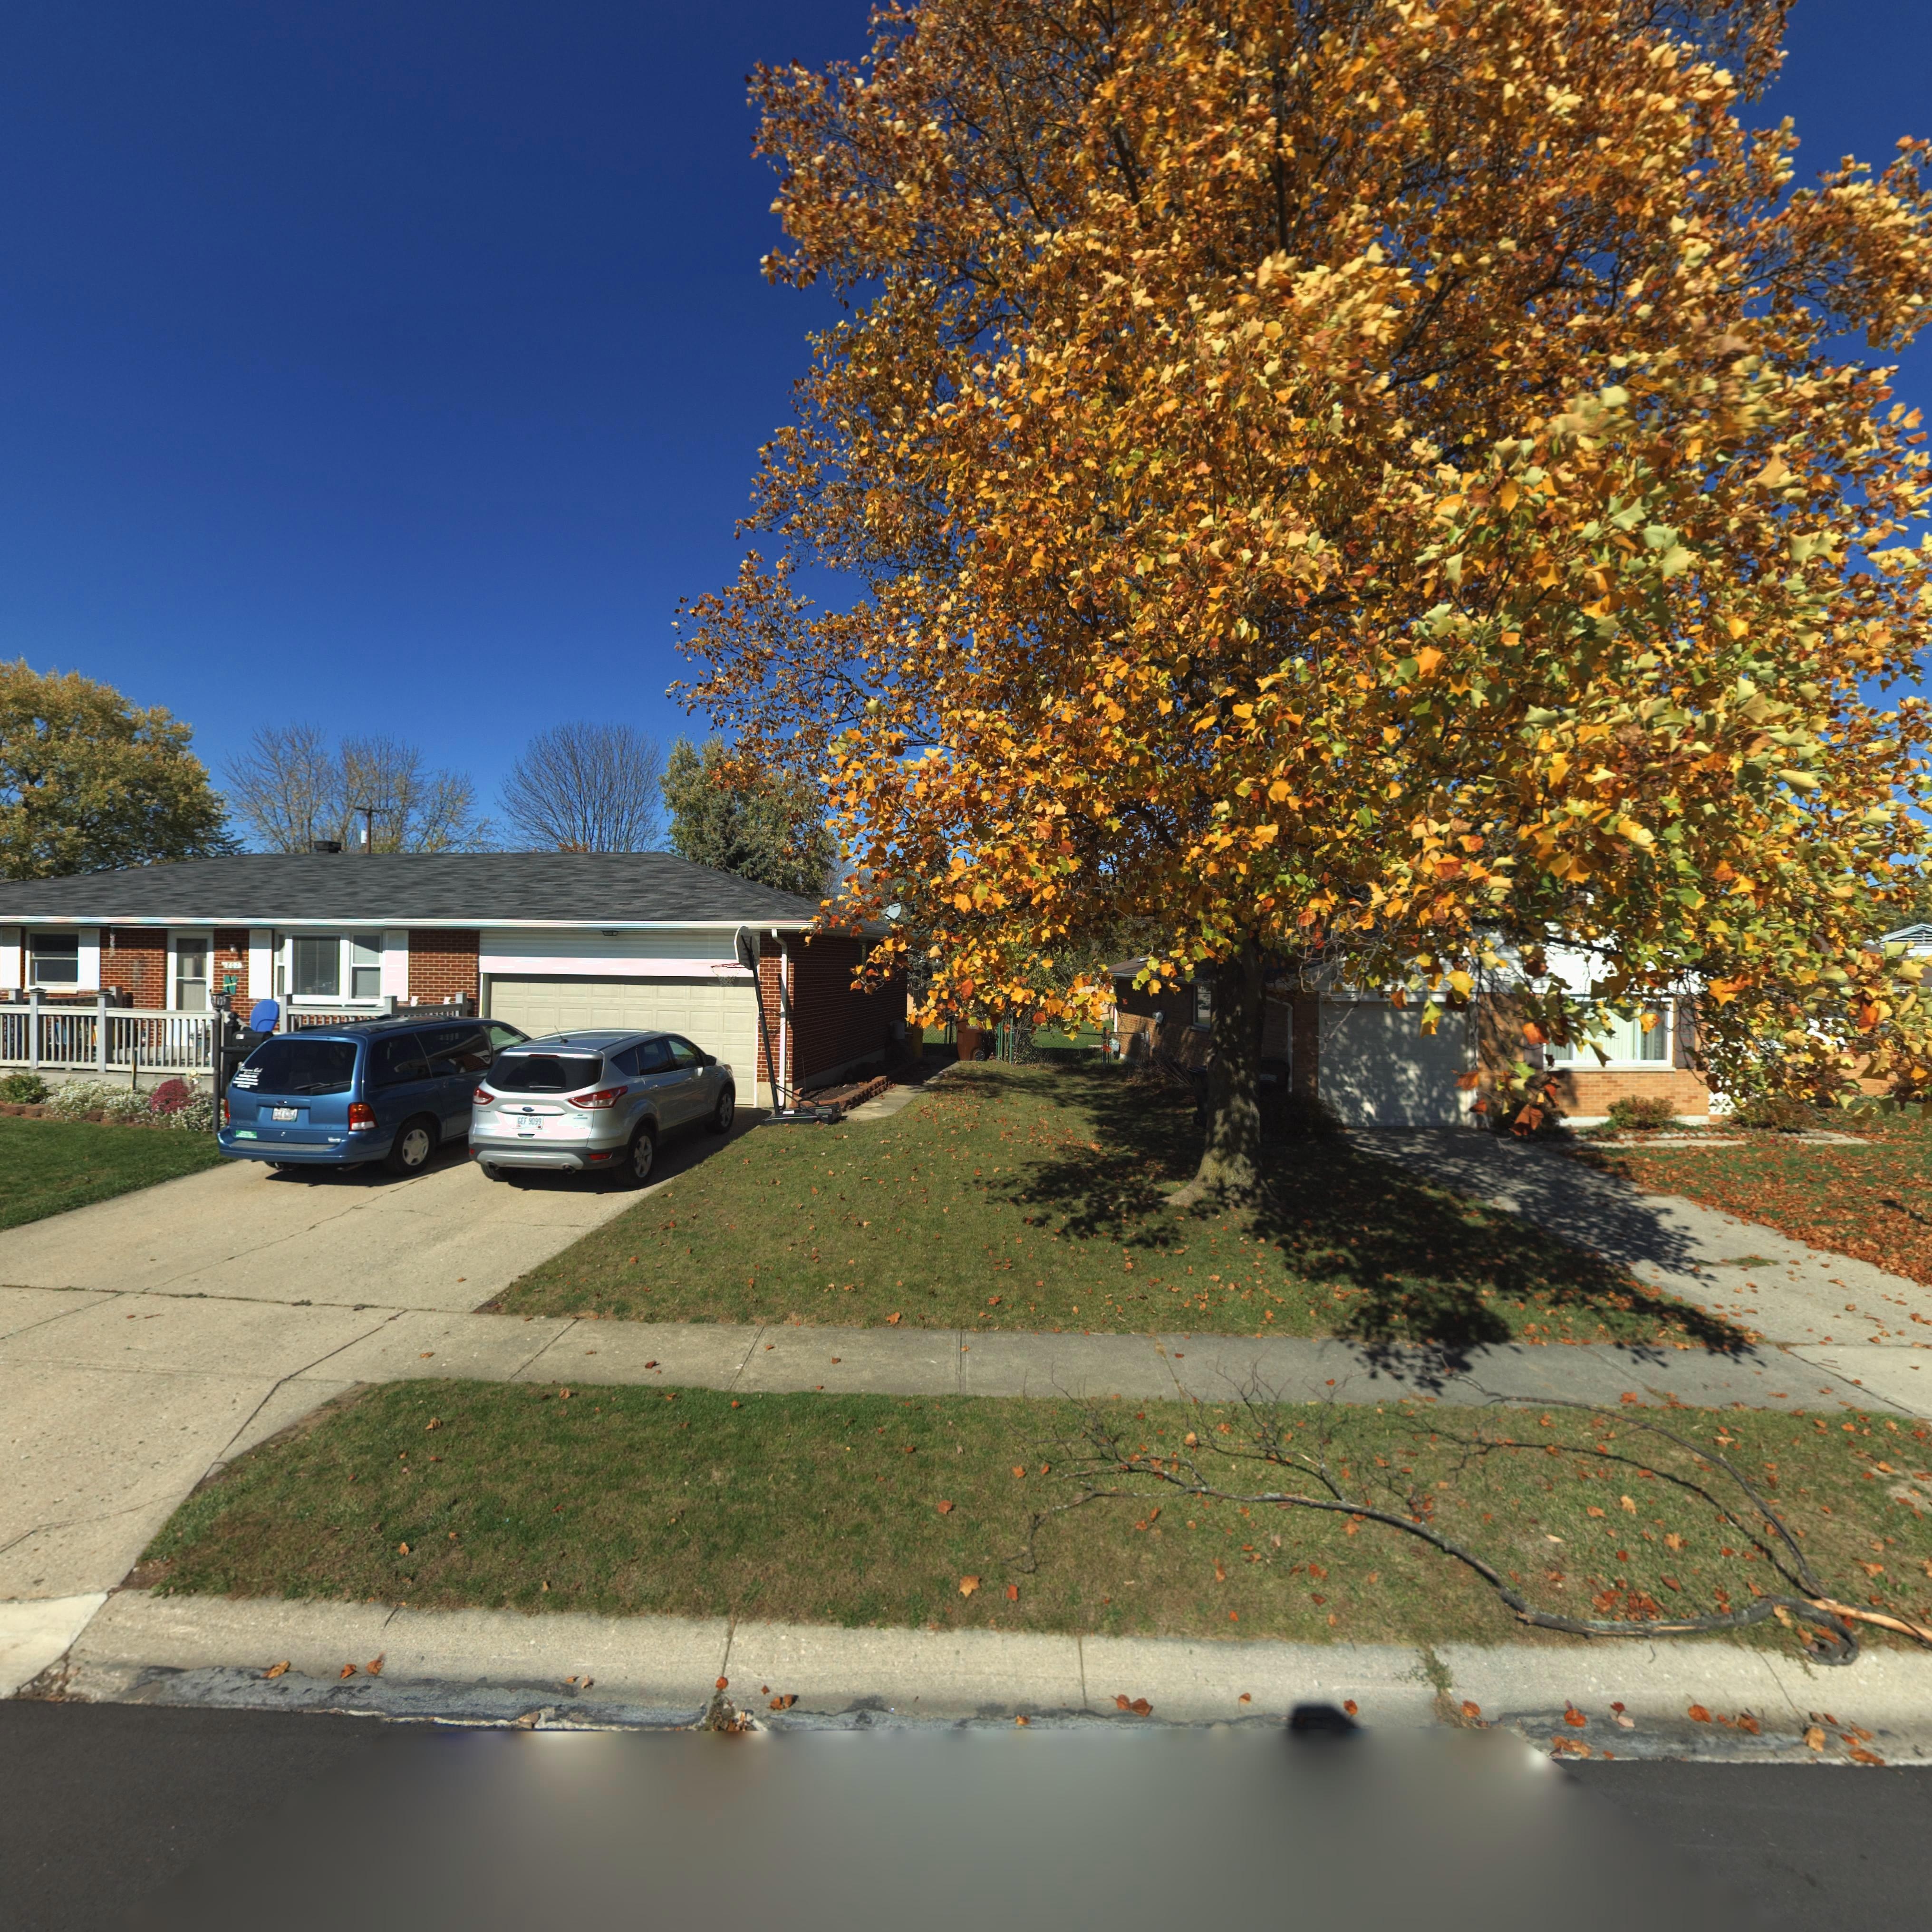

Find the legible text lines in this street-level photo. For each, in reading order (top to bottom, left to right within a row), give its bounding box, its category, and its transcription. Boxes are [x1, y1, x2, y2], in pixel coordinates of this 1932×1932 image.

[226, 962, 239, 968] StreetNumber: 807